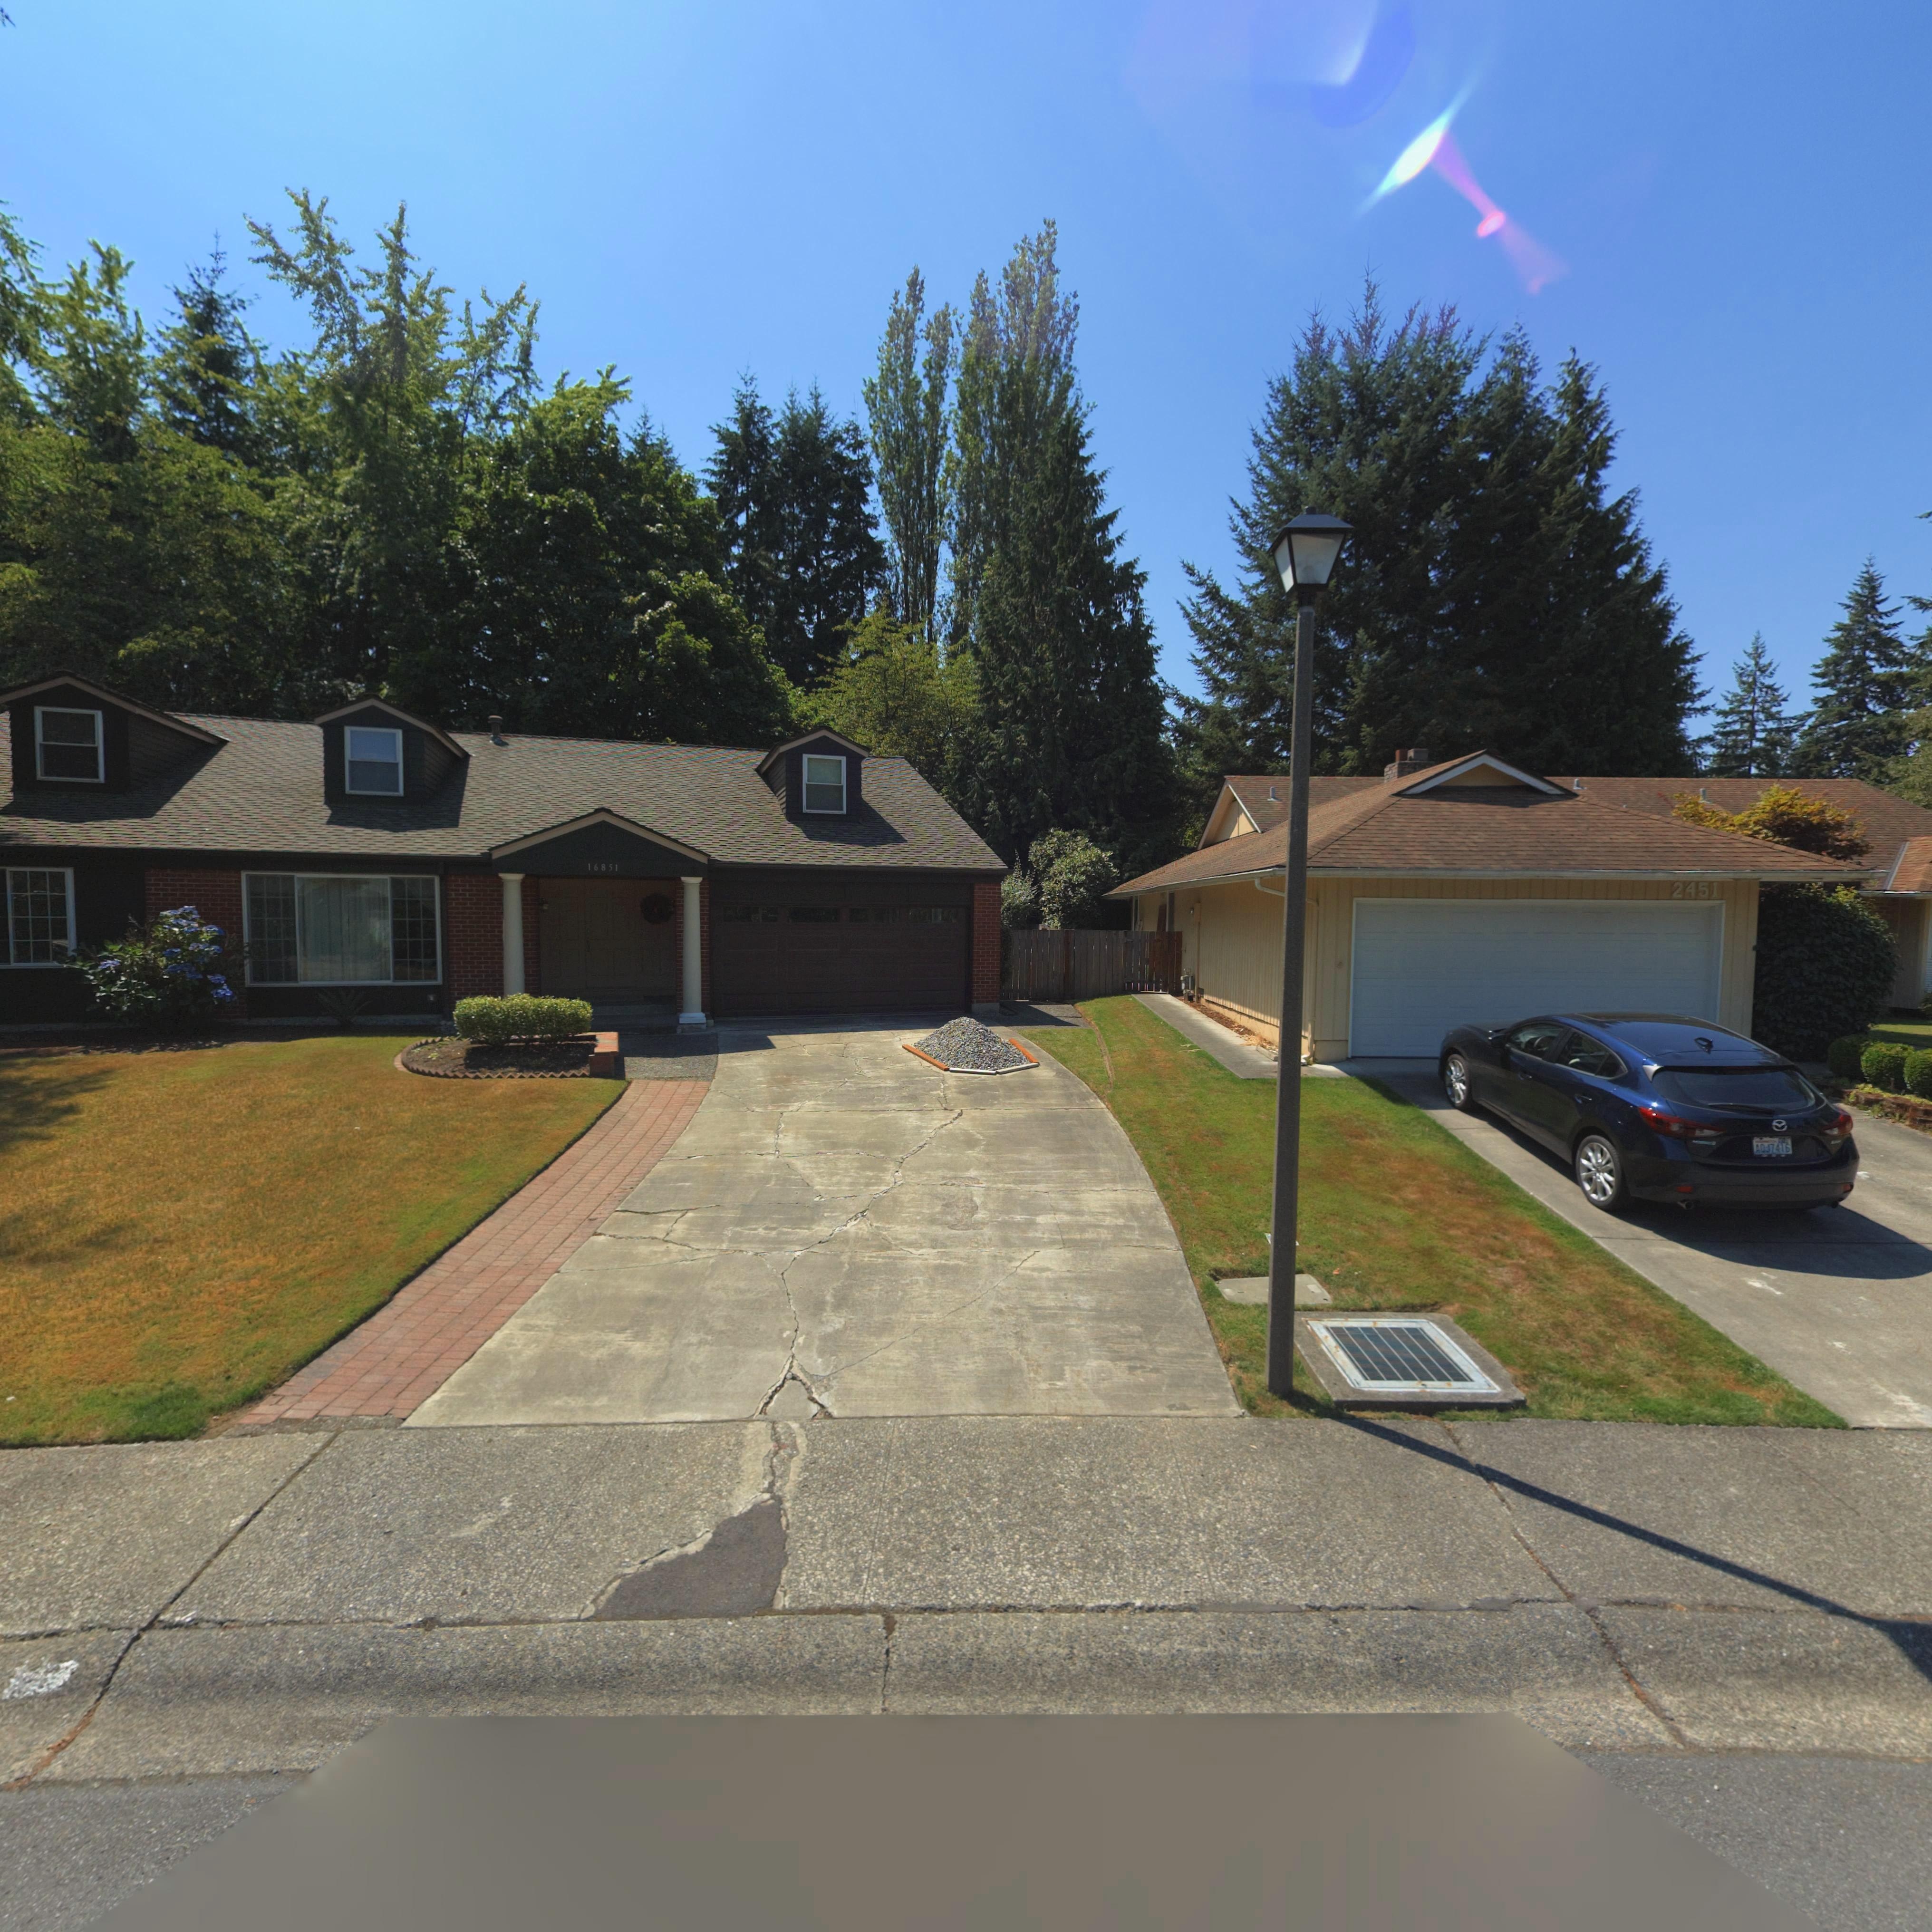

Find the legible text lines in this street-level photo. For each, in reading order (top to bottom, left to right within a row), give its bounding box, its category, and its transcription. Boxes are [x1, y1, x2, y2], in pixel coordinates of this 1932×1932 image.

[588, 863, 617, 870] StreetNumber: 16851
[1673, 882, 1717, 897] StreetNumber: 2451